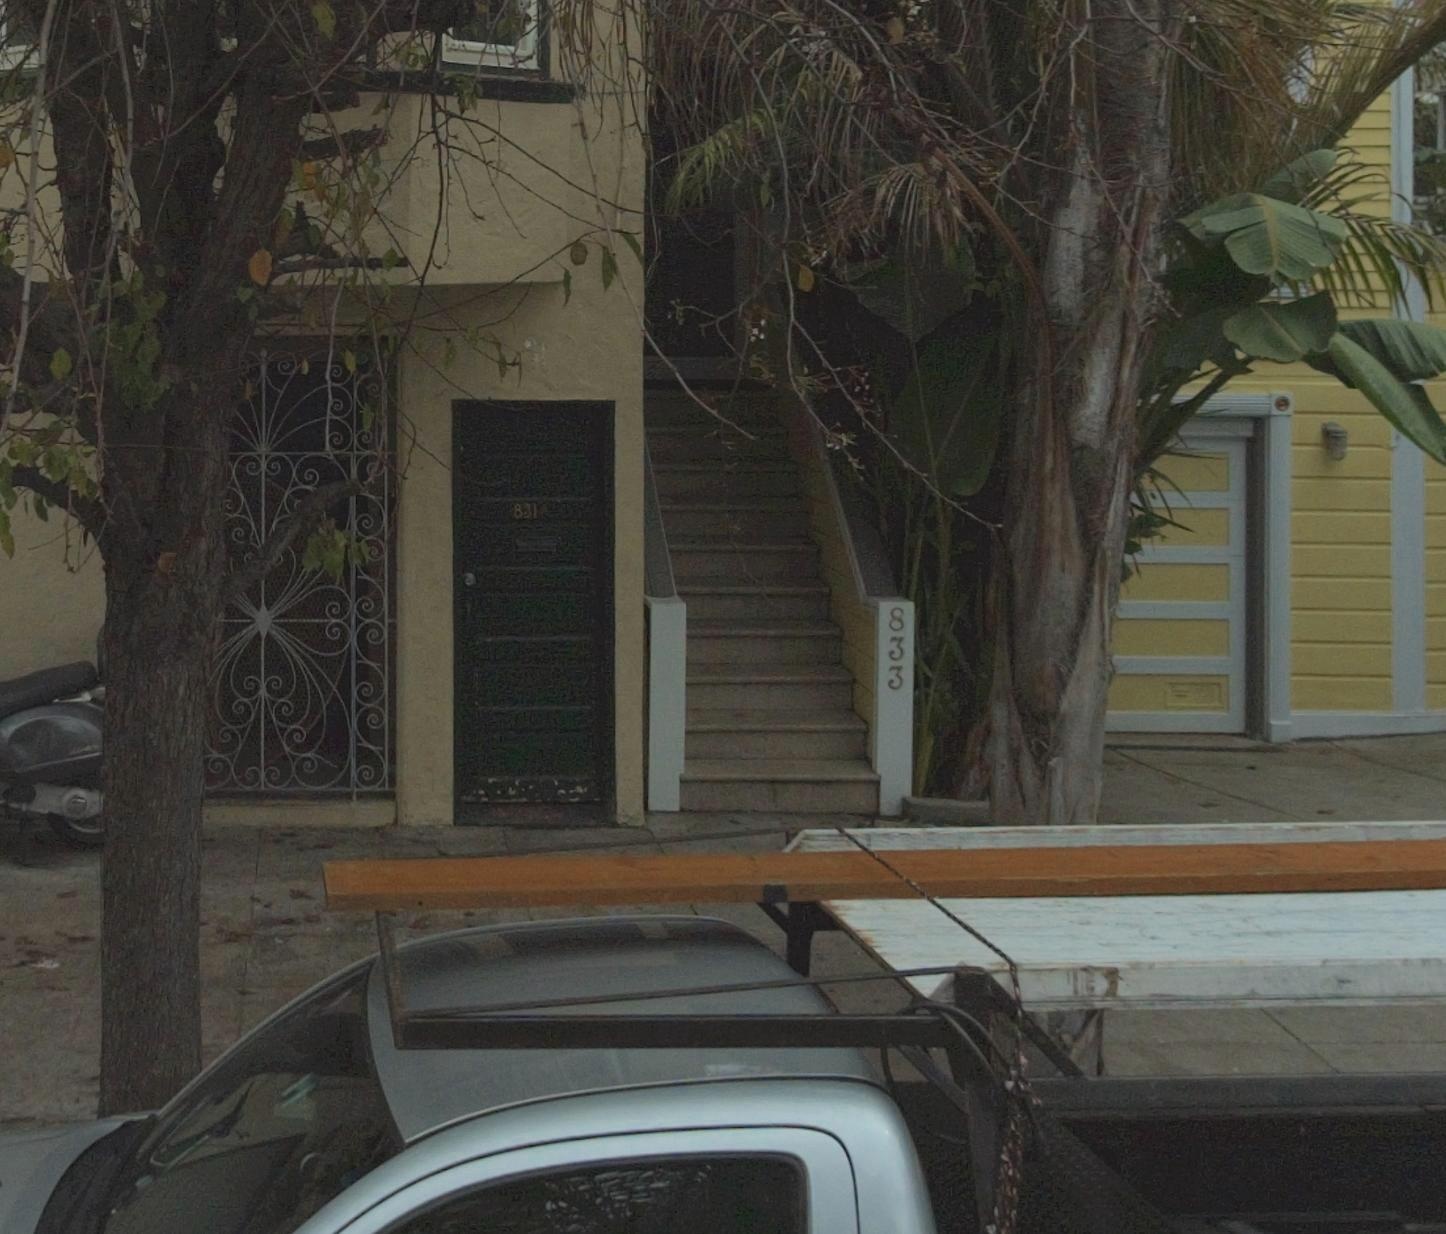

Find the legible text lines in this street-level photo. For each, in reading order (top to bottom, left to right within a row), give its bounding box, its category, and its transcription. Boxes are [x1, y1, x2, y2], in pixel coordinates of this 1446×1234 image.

[512, 502, 539, 519] StreetNumber: 831
[886, 606, 907, 692] StreetNumber: 833